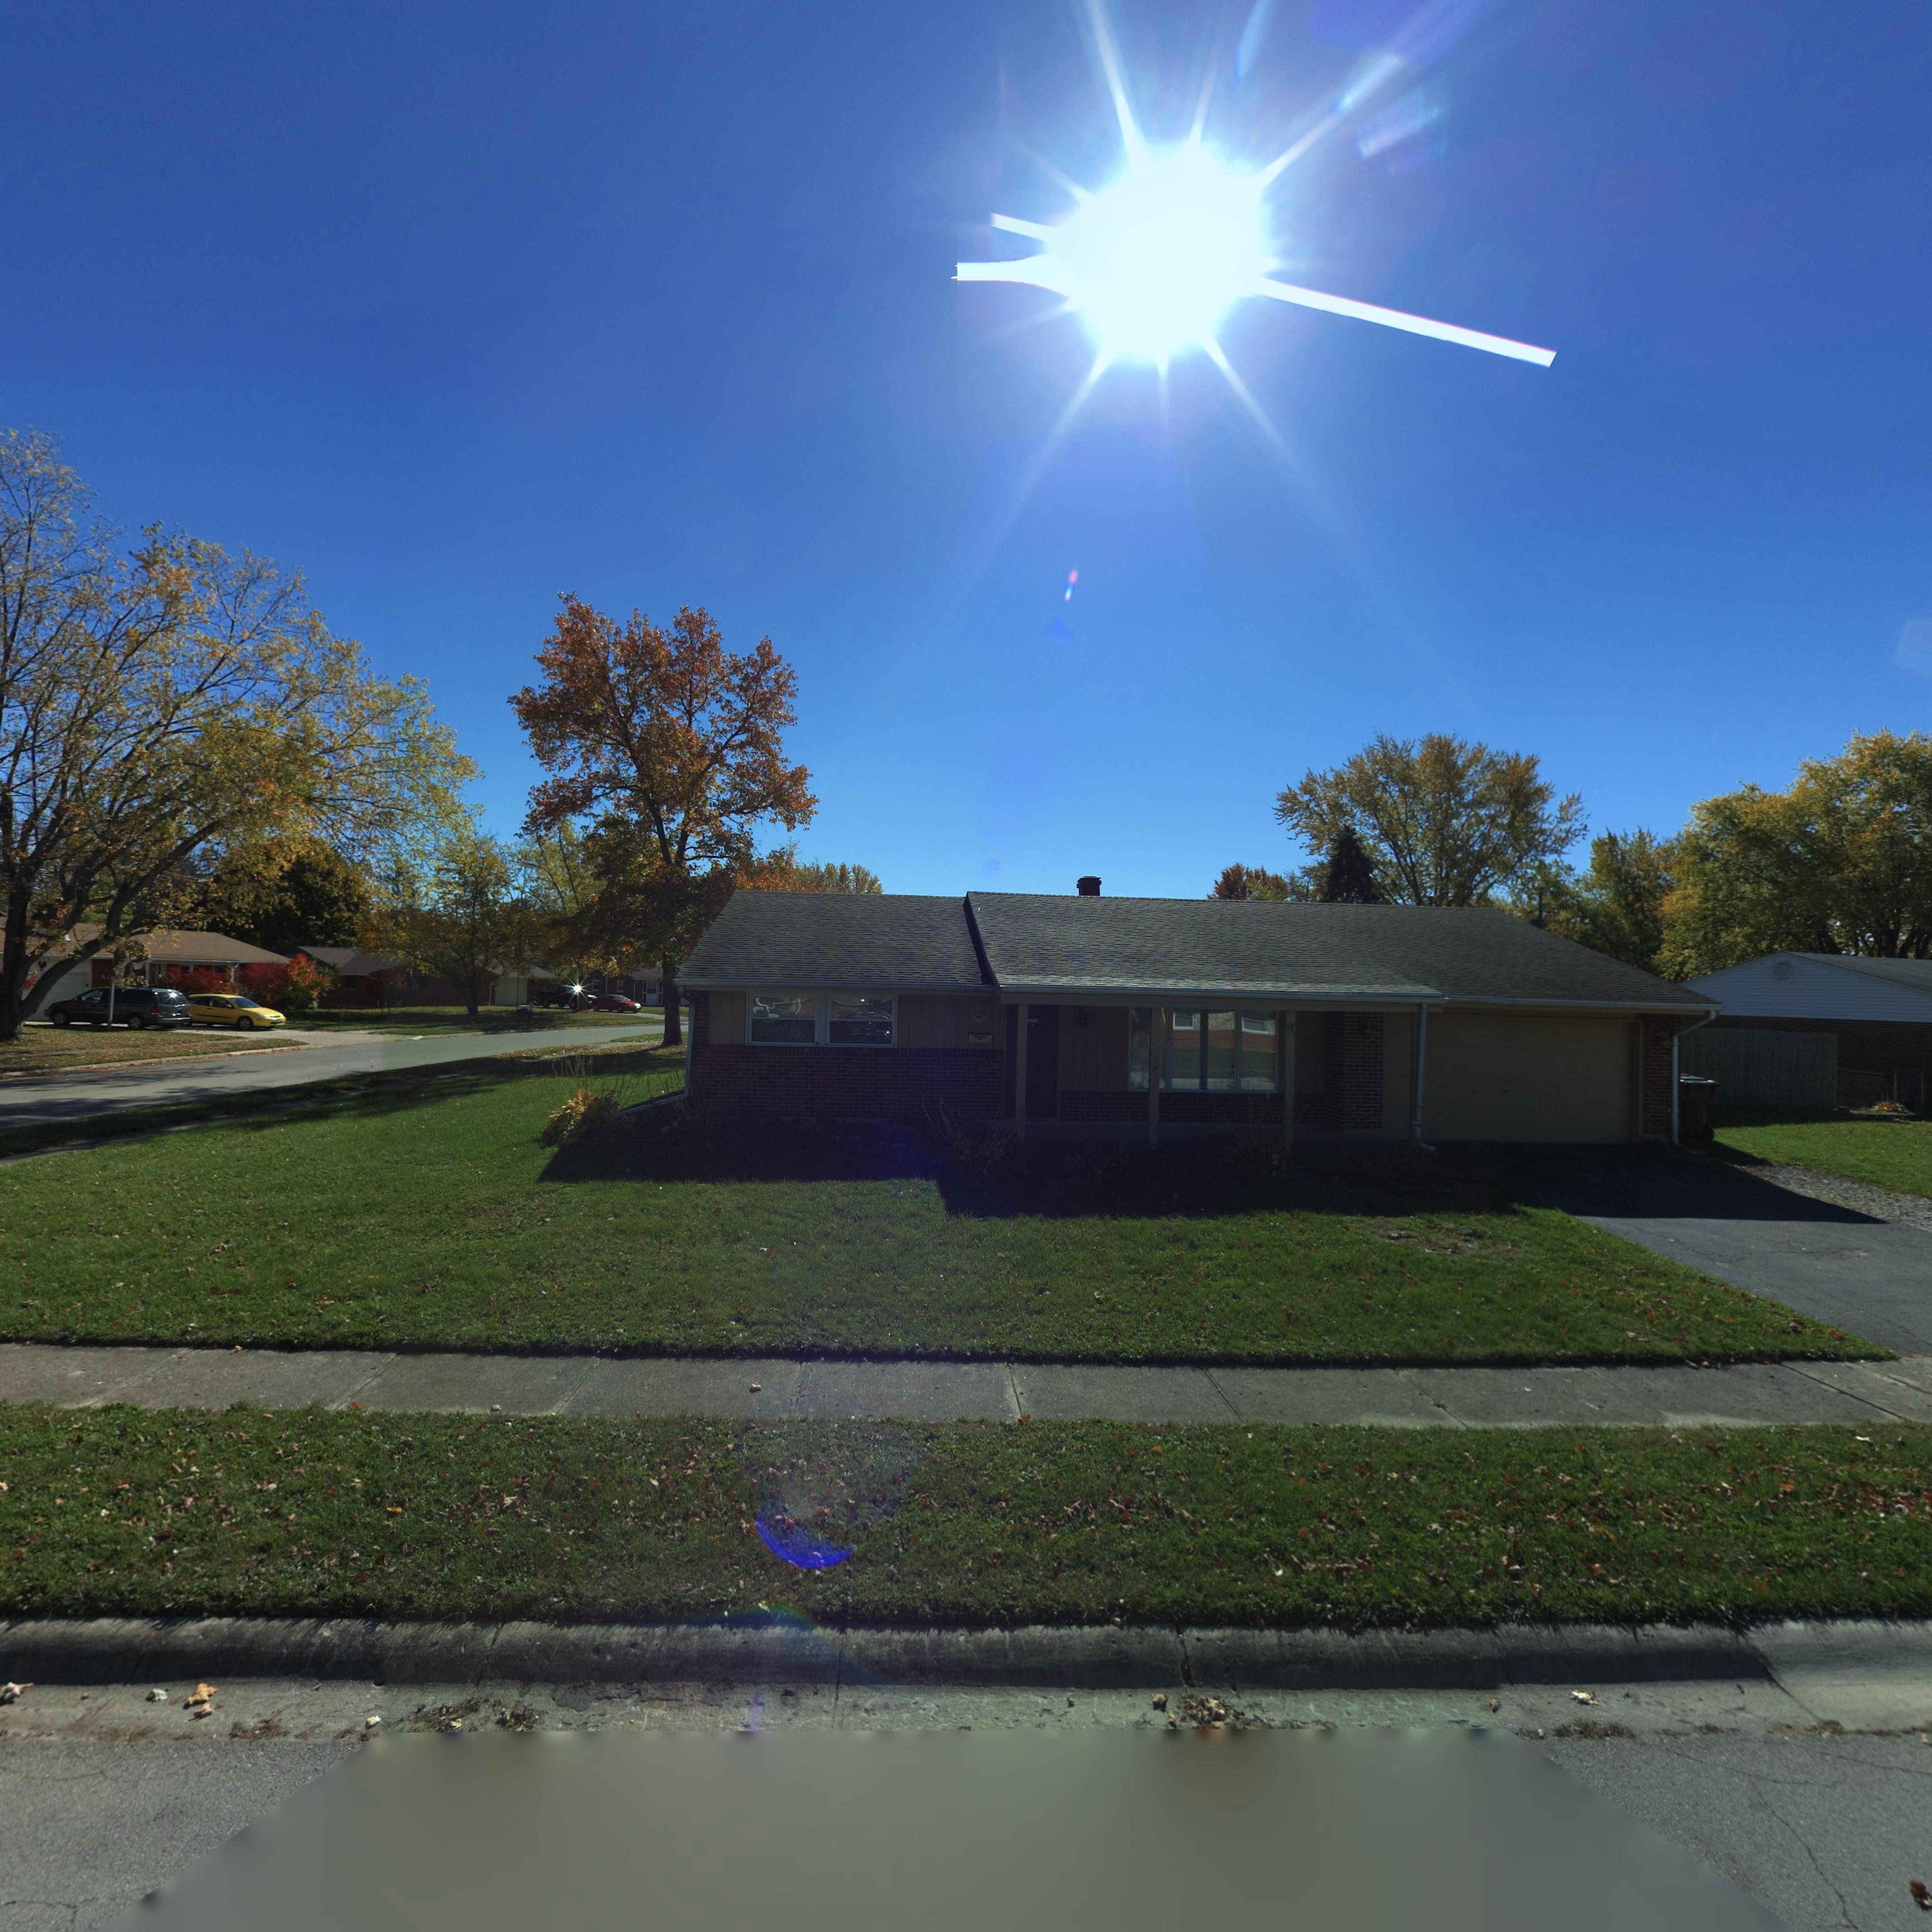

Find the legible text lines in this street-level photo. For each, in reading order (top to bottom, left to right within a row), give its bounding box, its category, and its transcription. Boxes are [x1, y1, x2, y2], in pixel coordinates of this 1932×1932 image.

[975, 1014, 983, 1020] StreetNumber: *0*